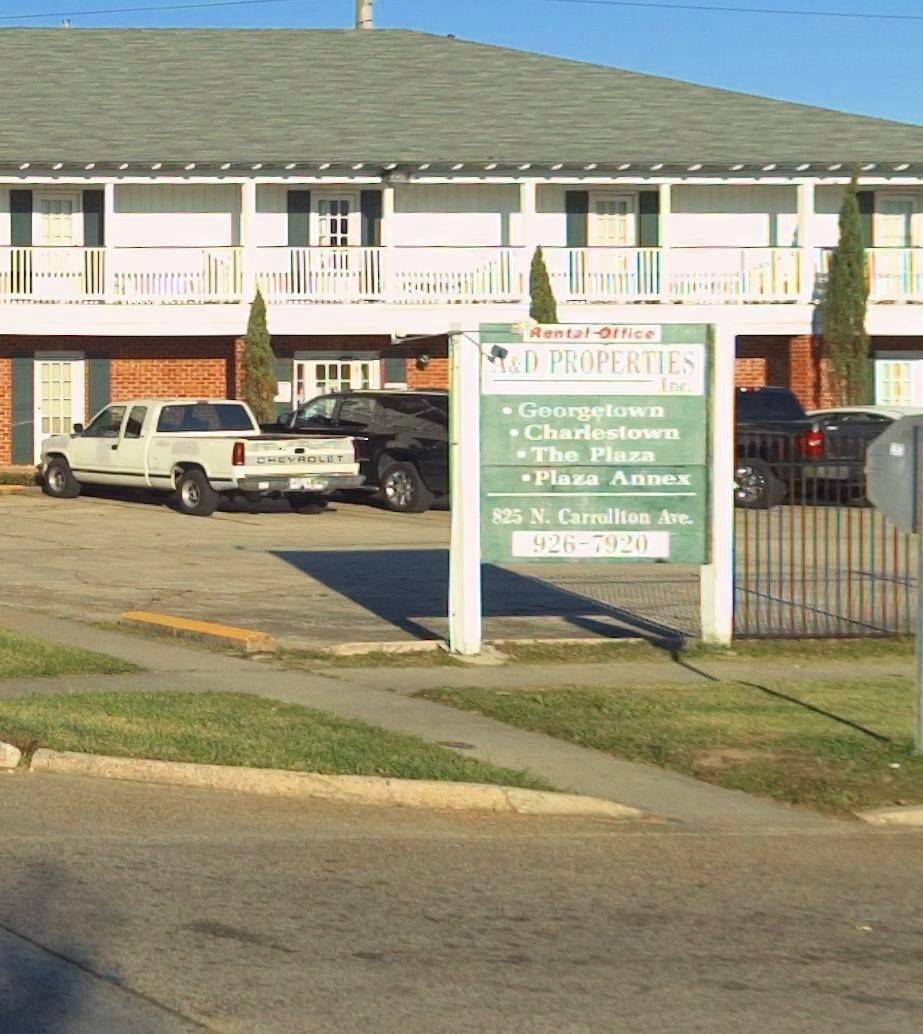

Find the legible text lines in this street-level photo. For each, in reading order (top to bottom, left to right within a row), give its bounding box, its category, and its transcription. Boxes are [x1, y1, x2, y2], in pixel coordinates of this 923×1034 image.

[527, 324, 658, 342] None: R****-Offic*
[520, 346, 698, 378] BusinessName: D PROPERTIES
[514, 399, 668, 424] None: Georgetown
[521, 421, 686, 443] None: Charlestown
[253, 453, 346, 467] None: CHEVROL*T
[527, 442, 661, 466] None: The Plaza
[530, 467, 695, 489] None: Plaza Annex
[490, 505, 525, 527] StreetNumber: 825
[528, 503, 696, 528] StreetName: N. Carr**lton Ave.
[530, 530, 651, 557] None: 926-7920